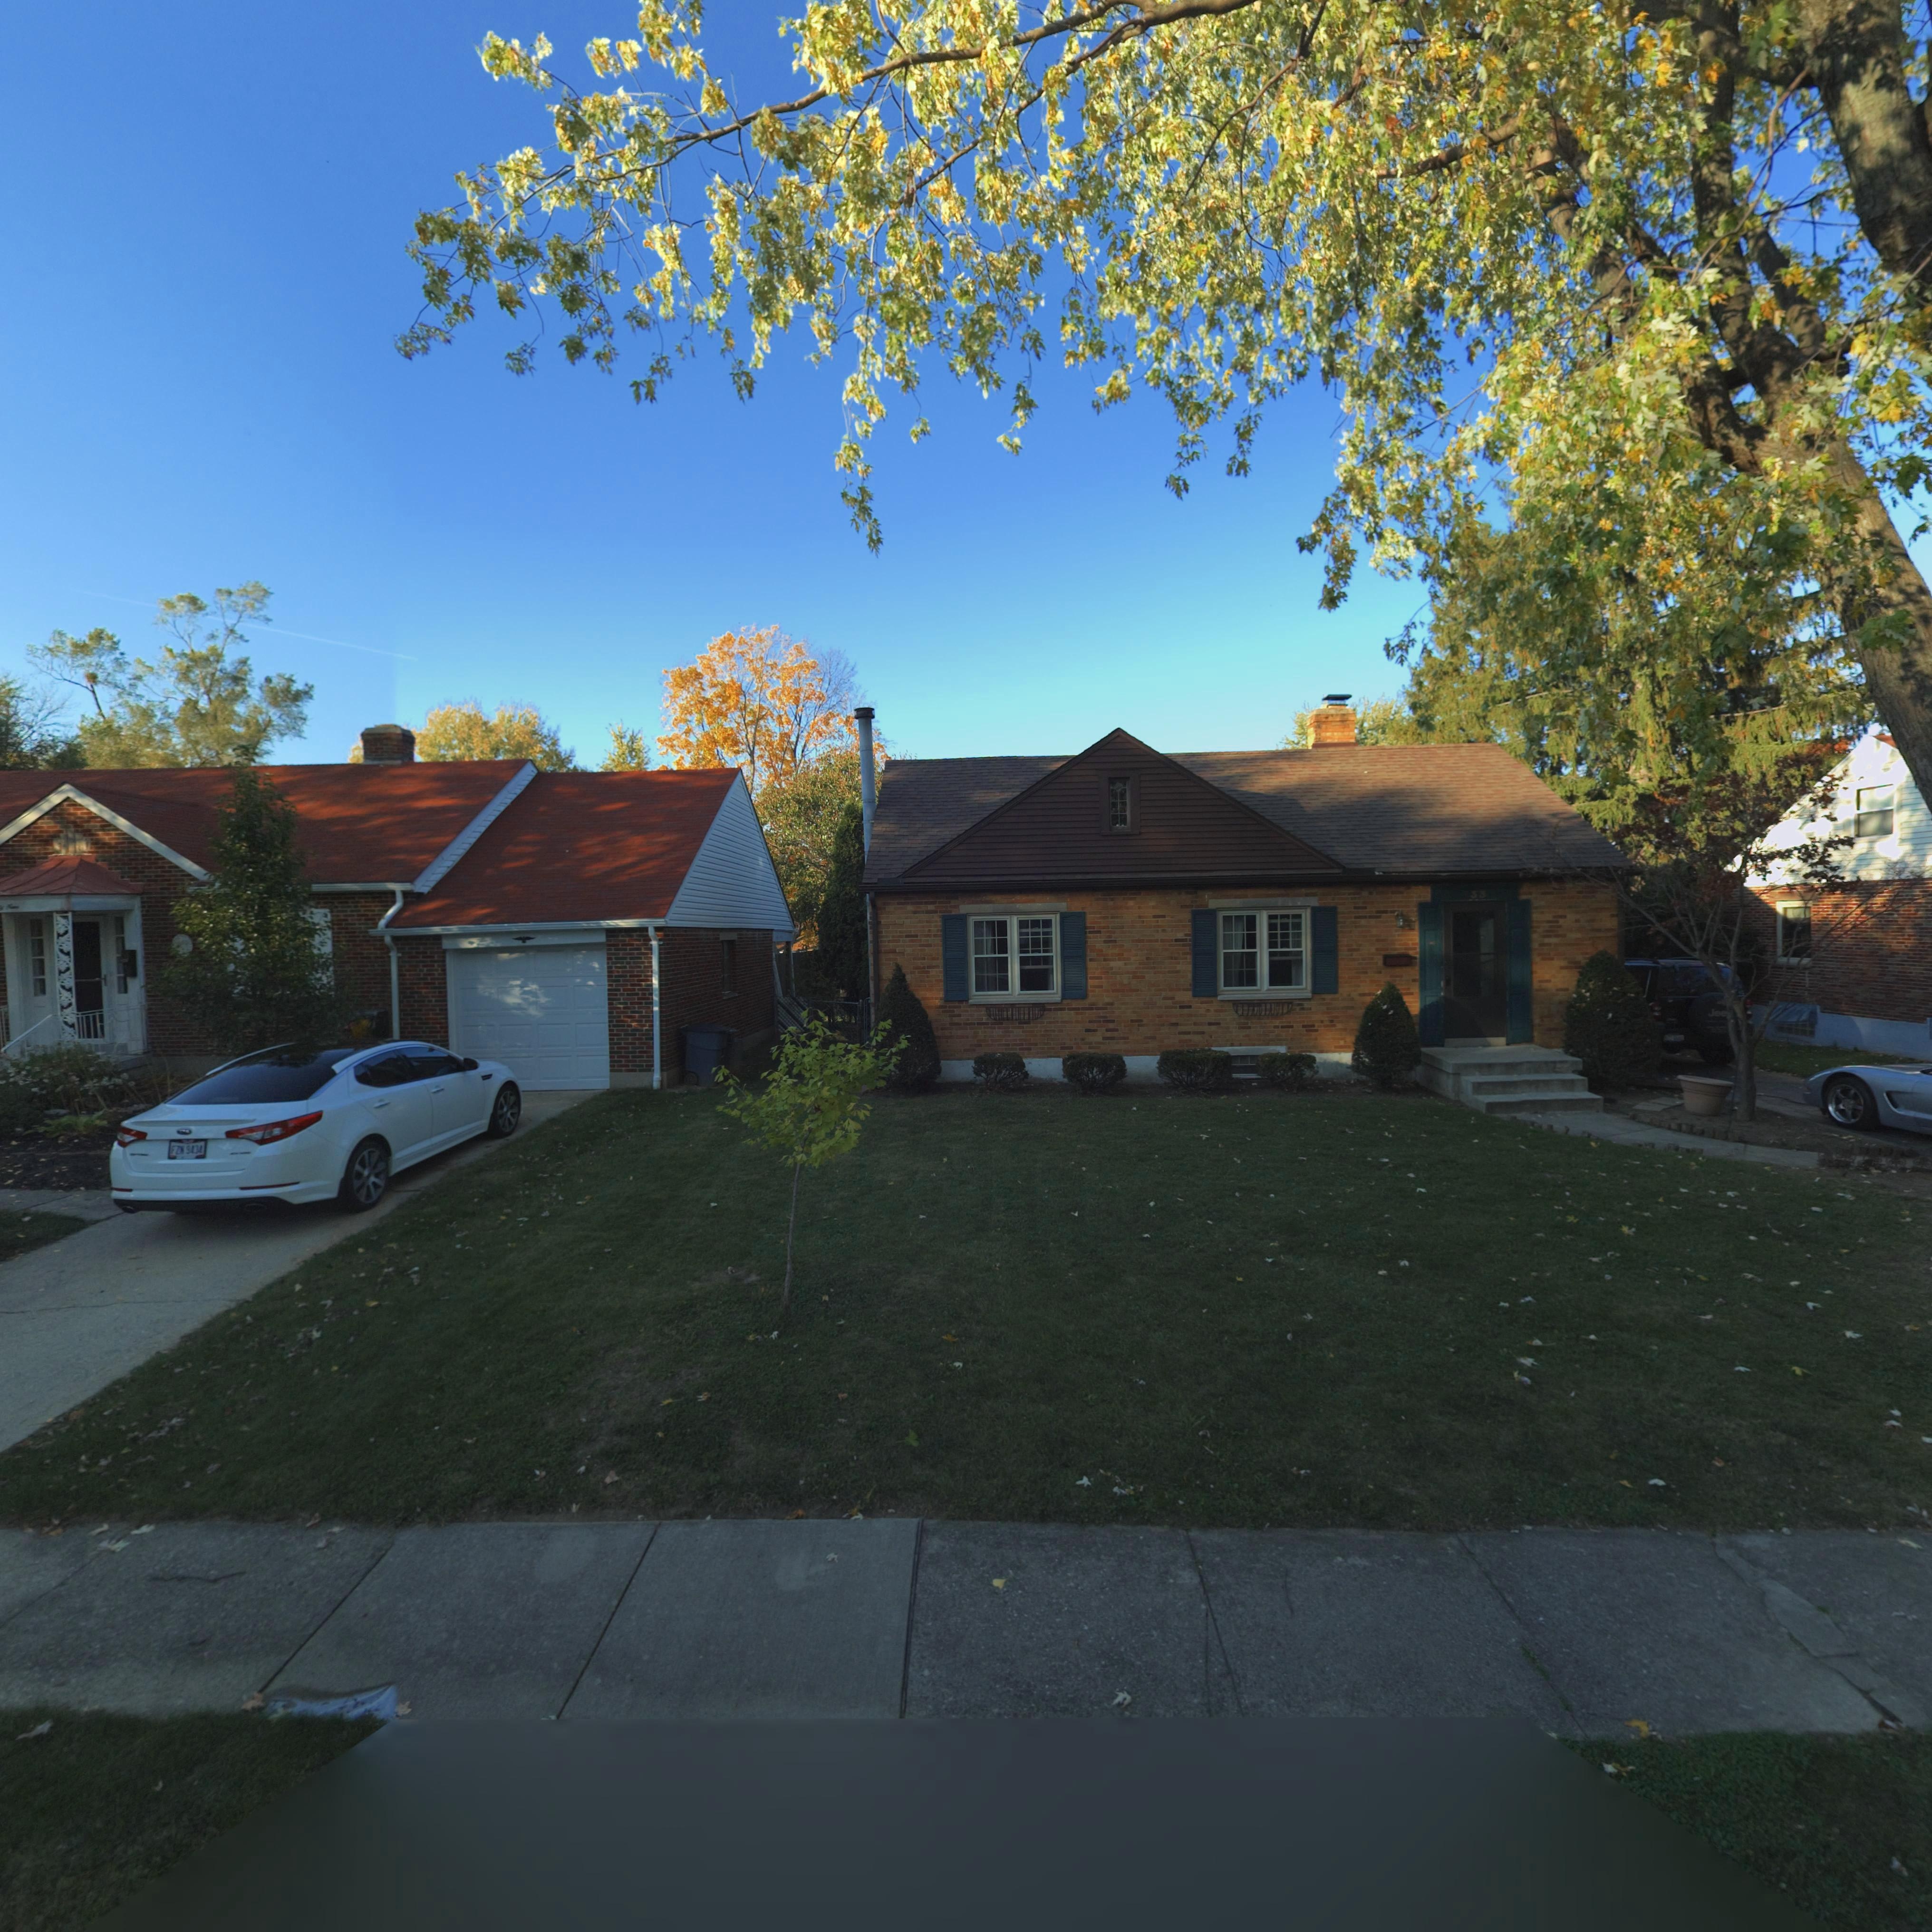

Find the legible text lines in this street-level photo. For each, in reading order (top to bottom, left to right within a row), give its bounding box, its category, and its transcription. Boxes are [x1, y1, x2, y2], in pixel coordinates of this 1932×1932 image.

[1471, 889, 1487, 899] StreetNumber: 33